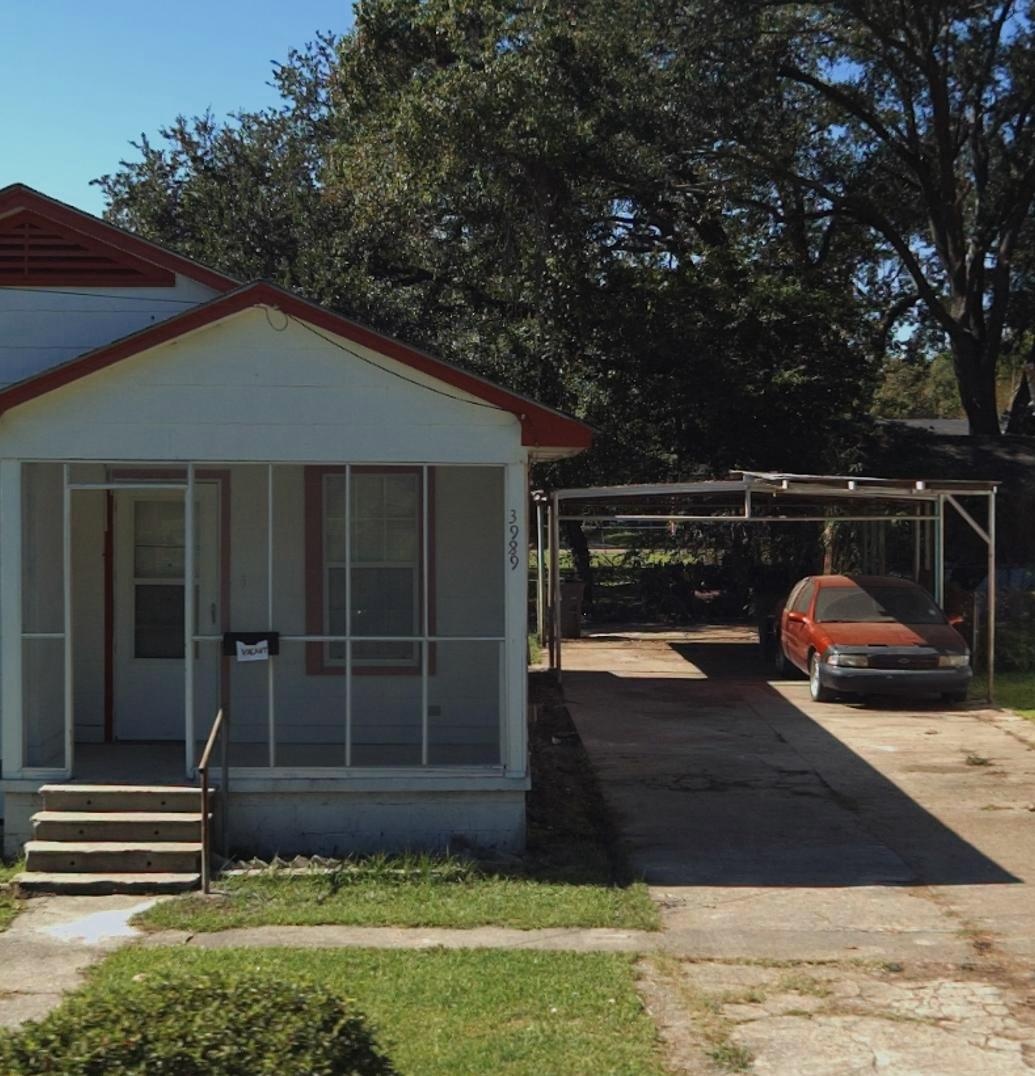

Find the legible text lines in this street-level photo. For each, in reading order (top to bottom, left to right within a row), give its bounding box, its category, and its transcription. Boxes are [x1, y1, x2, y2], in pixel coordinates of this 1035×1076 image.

[507, 508, 520, 572] StreetNumber: 3989